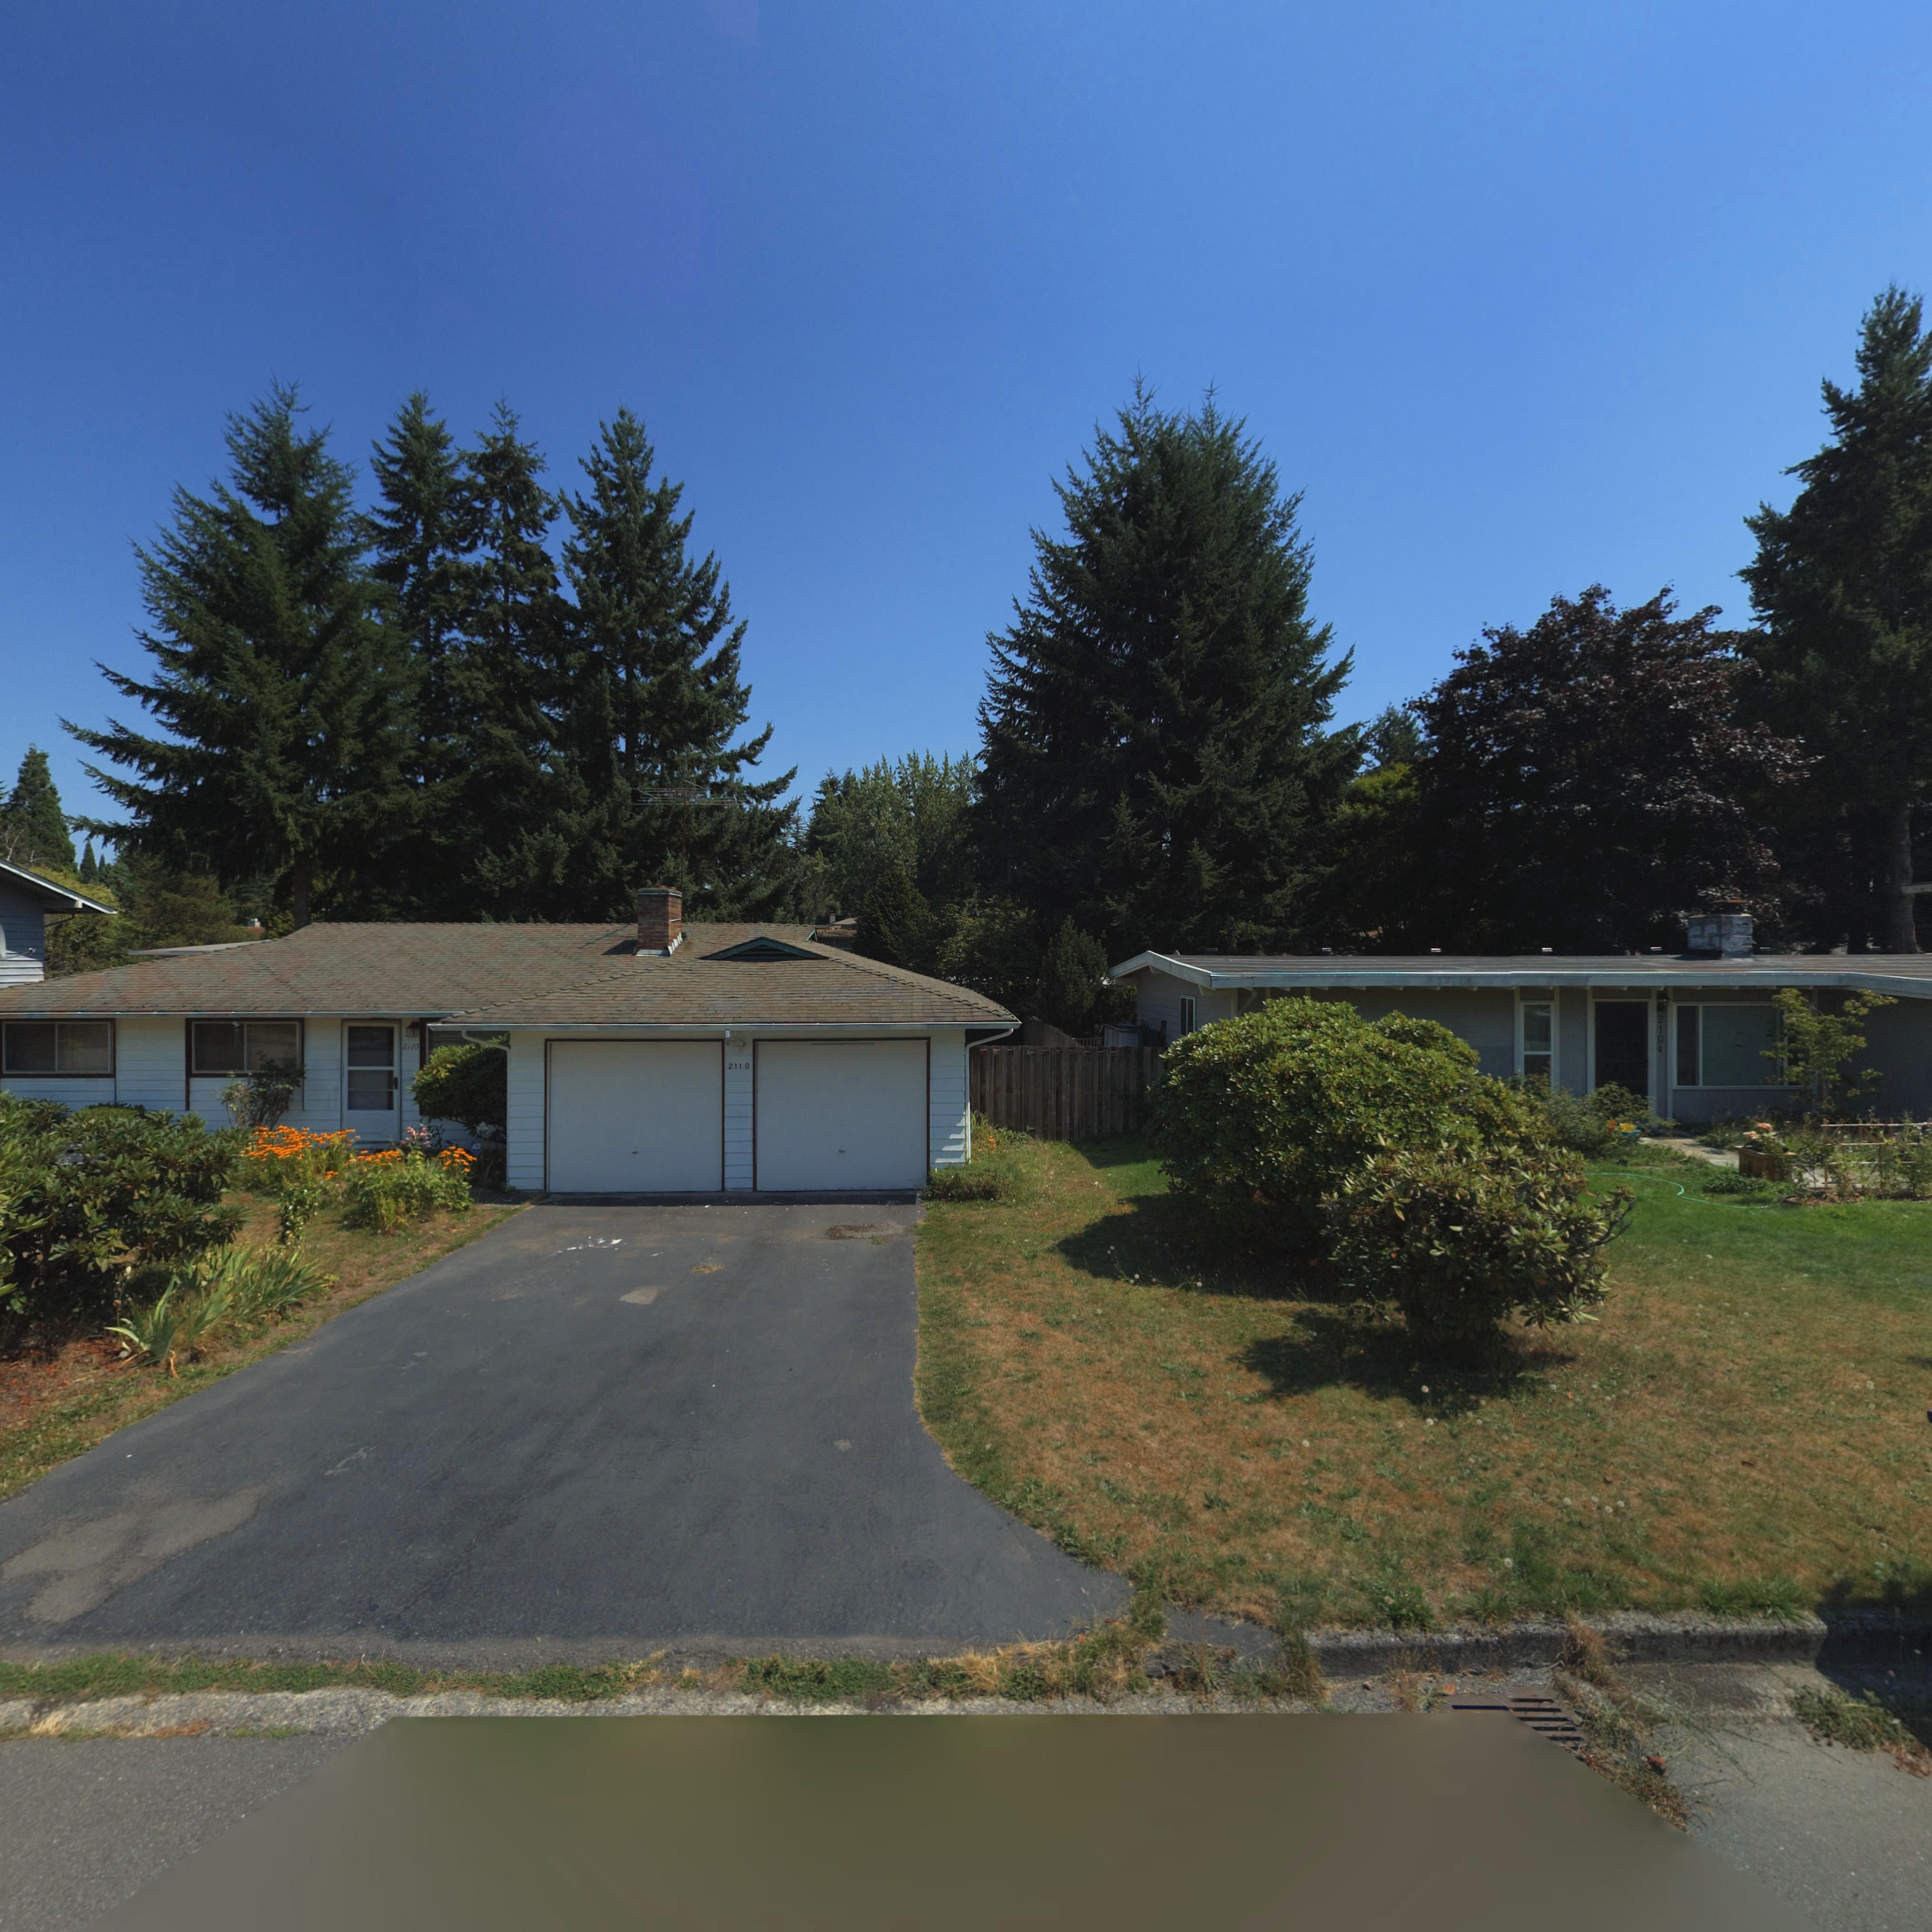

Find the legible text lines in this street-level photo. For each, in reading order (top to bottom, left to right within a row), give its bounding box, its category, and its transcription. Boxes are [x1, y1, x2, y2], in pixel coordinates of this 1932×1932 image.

[401, 1043, 419, 1050] StreetNumber: 2110
[726, 1061, 749, 1072] StreetNumber: 2110